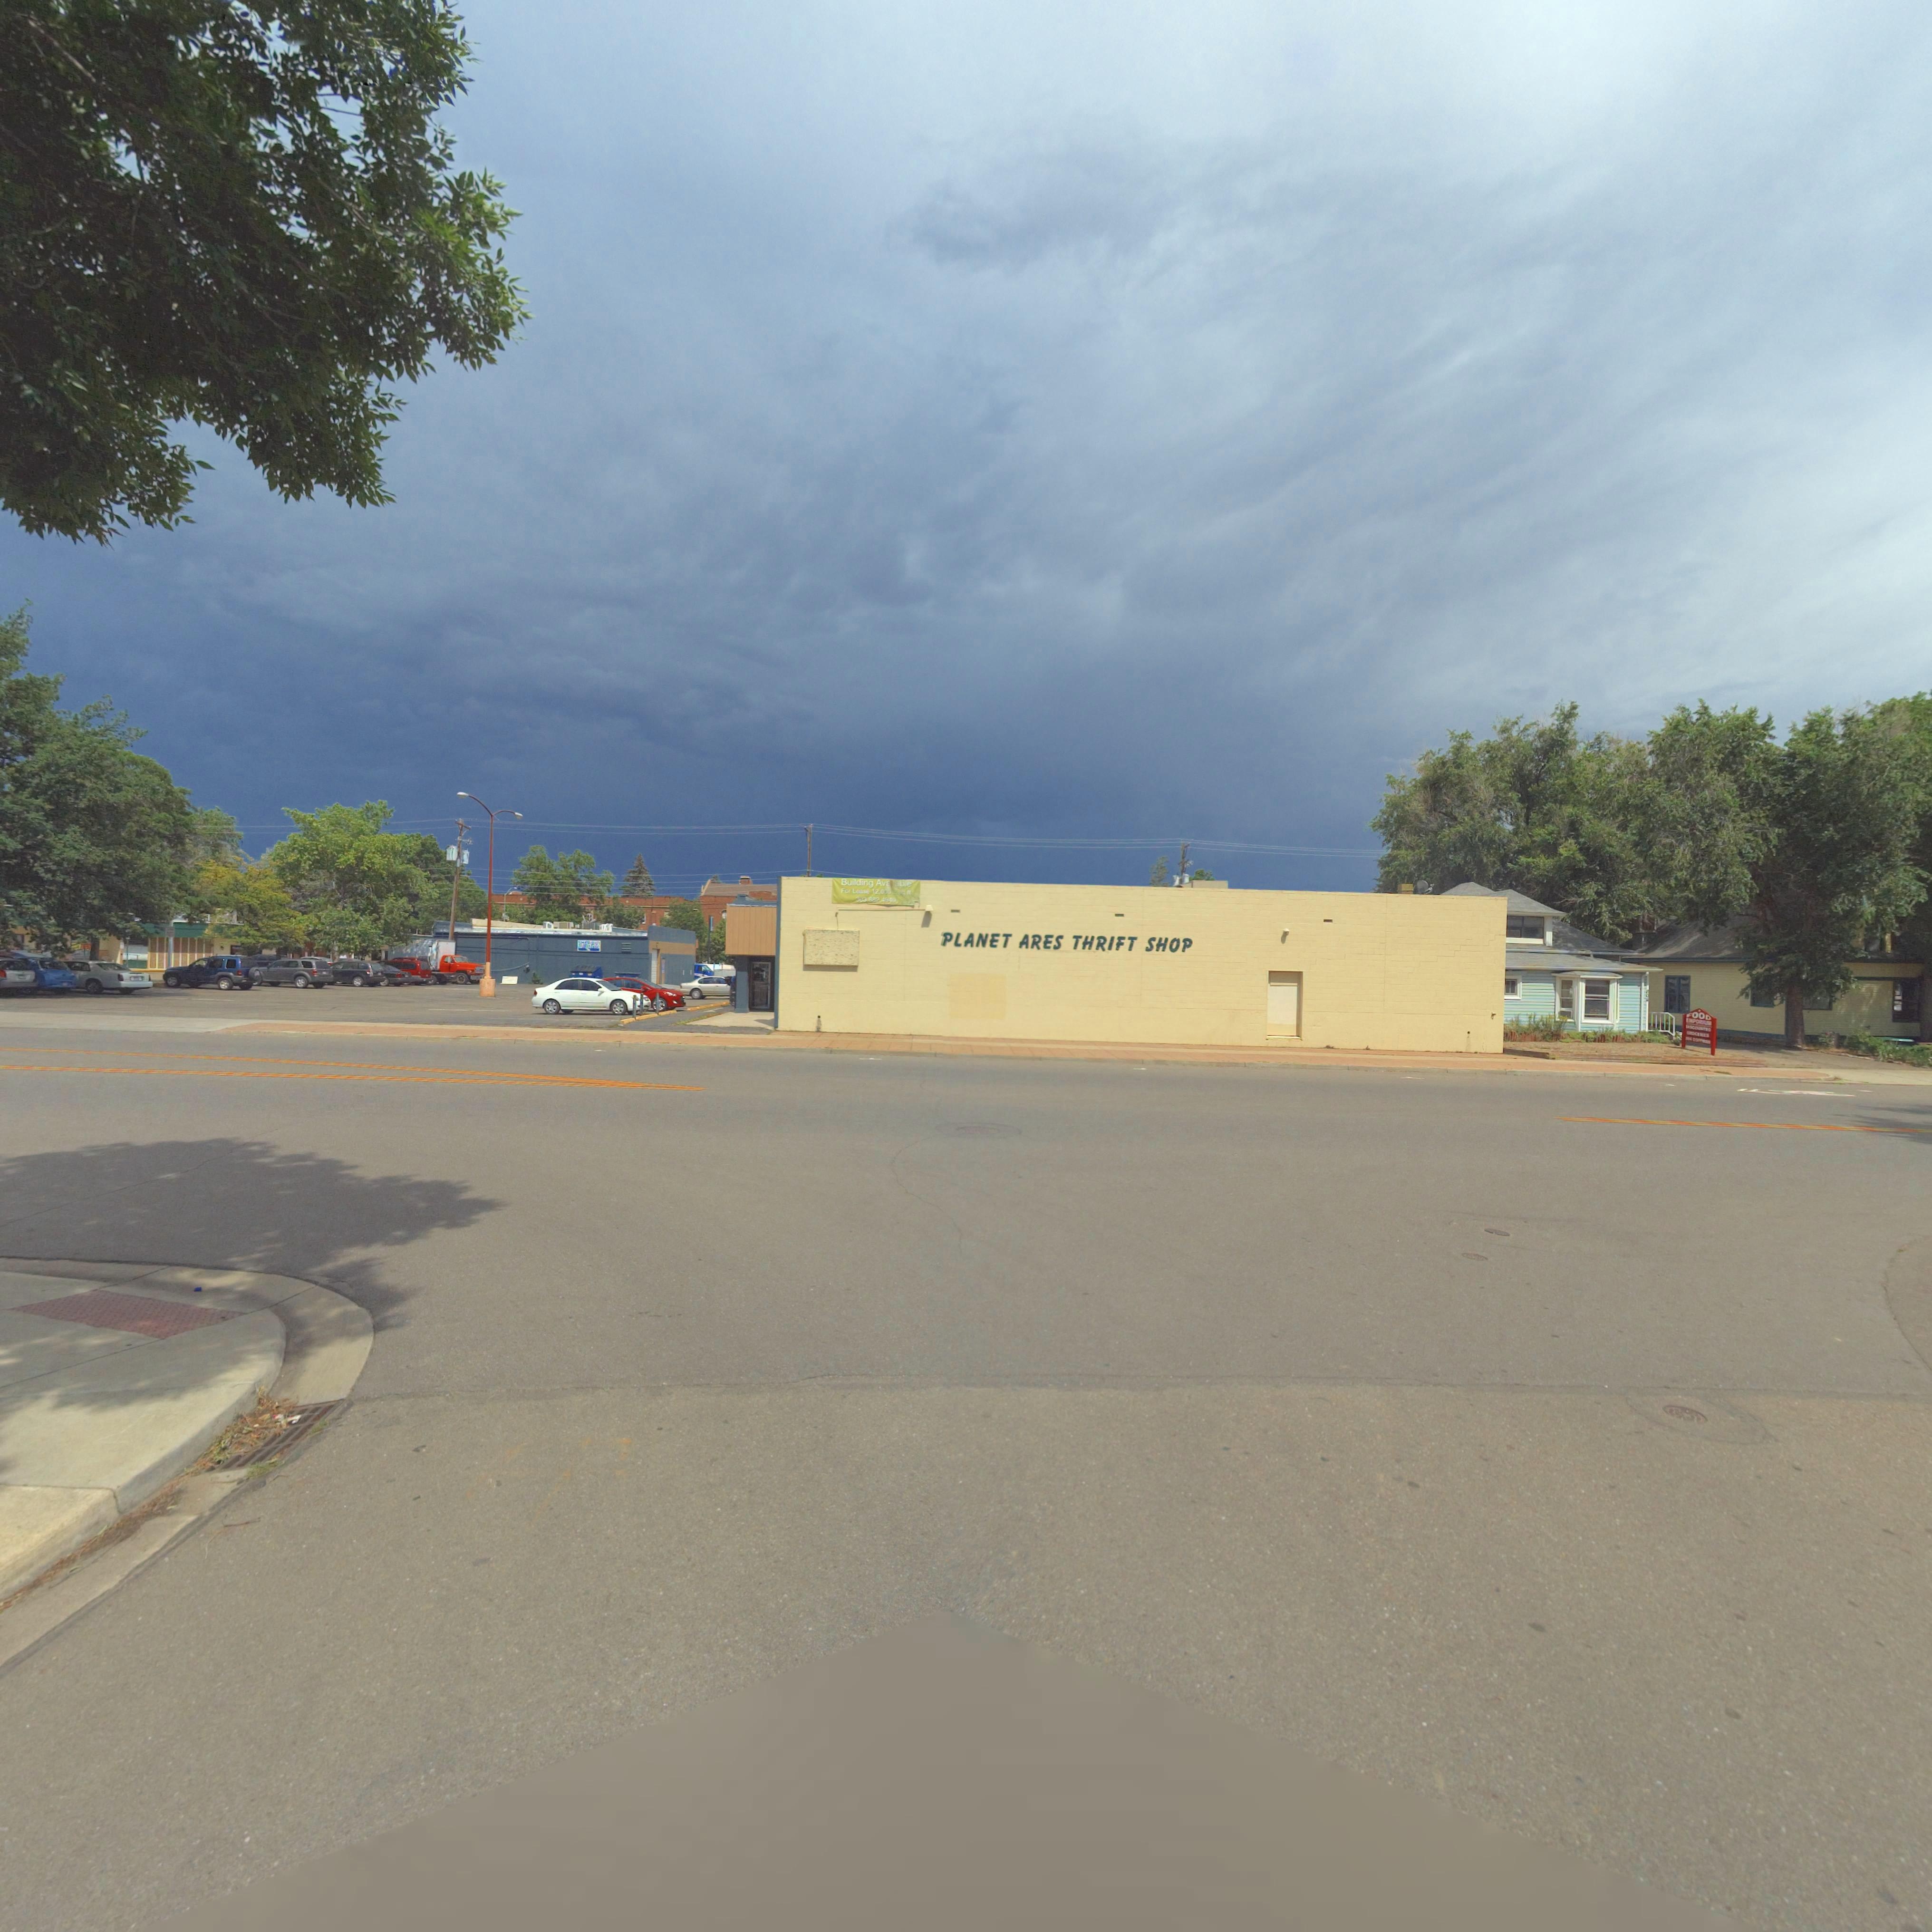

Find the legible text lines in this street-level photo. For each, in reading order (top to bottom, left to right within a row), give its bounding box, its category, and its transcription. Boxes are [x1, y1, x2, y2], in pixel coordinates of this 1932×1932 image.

[939, 931, 1194, 953] BusinessName: PLANET ARES THRIFT SHOP
[1686, 1011, 1712, 1020] BusinessName: FOOD
[1685, 1017, 1712, 1026] BusinessName: EMPORIUM
[1684, 1035, 1692, 1042] StreetNumber: 804